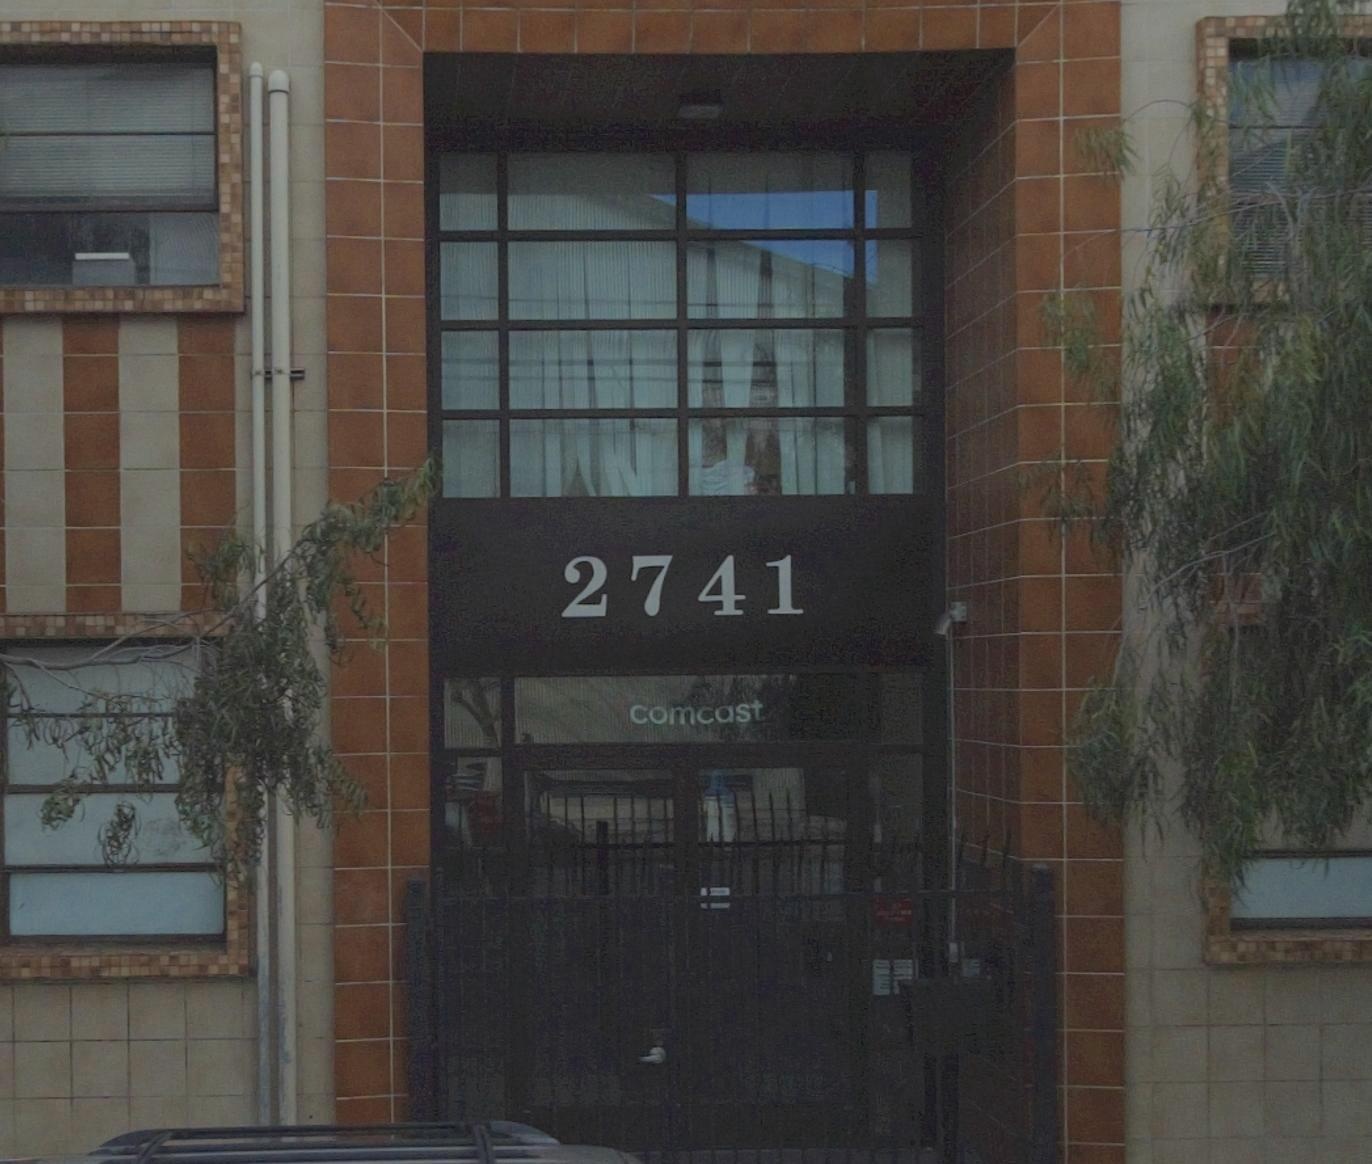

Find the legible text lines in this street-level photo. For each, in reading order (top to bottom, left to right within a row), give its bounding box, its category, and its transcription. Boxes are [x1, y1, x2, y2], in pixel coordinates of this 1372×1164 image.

[558, 550, 809, 619] StreetNumber: 2741
[626, 698, 765, 727] None: comcast